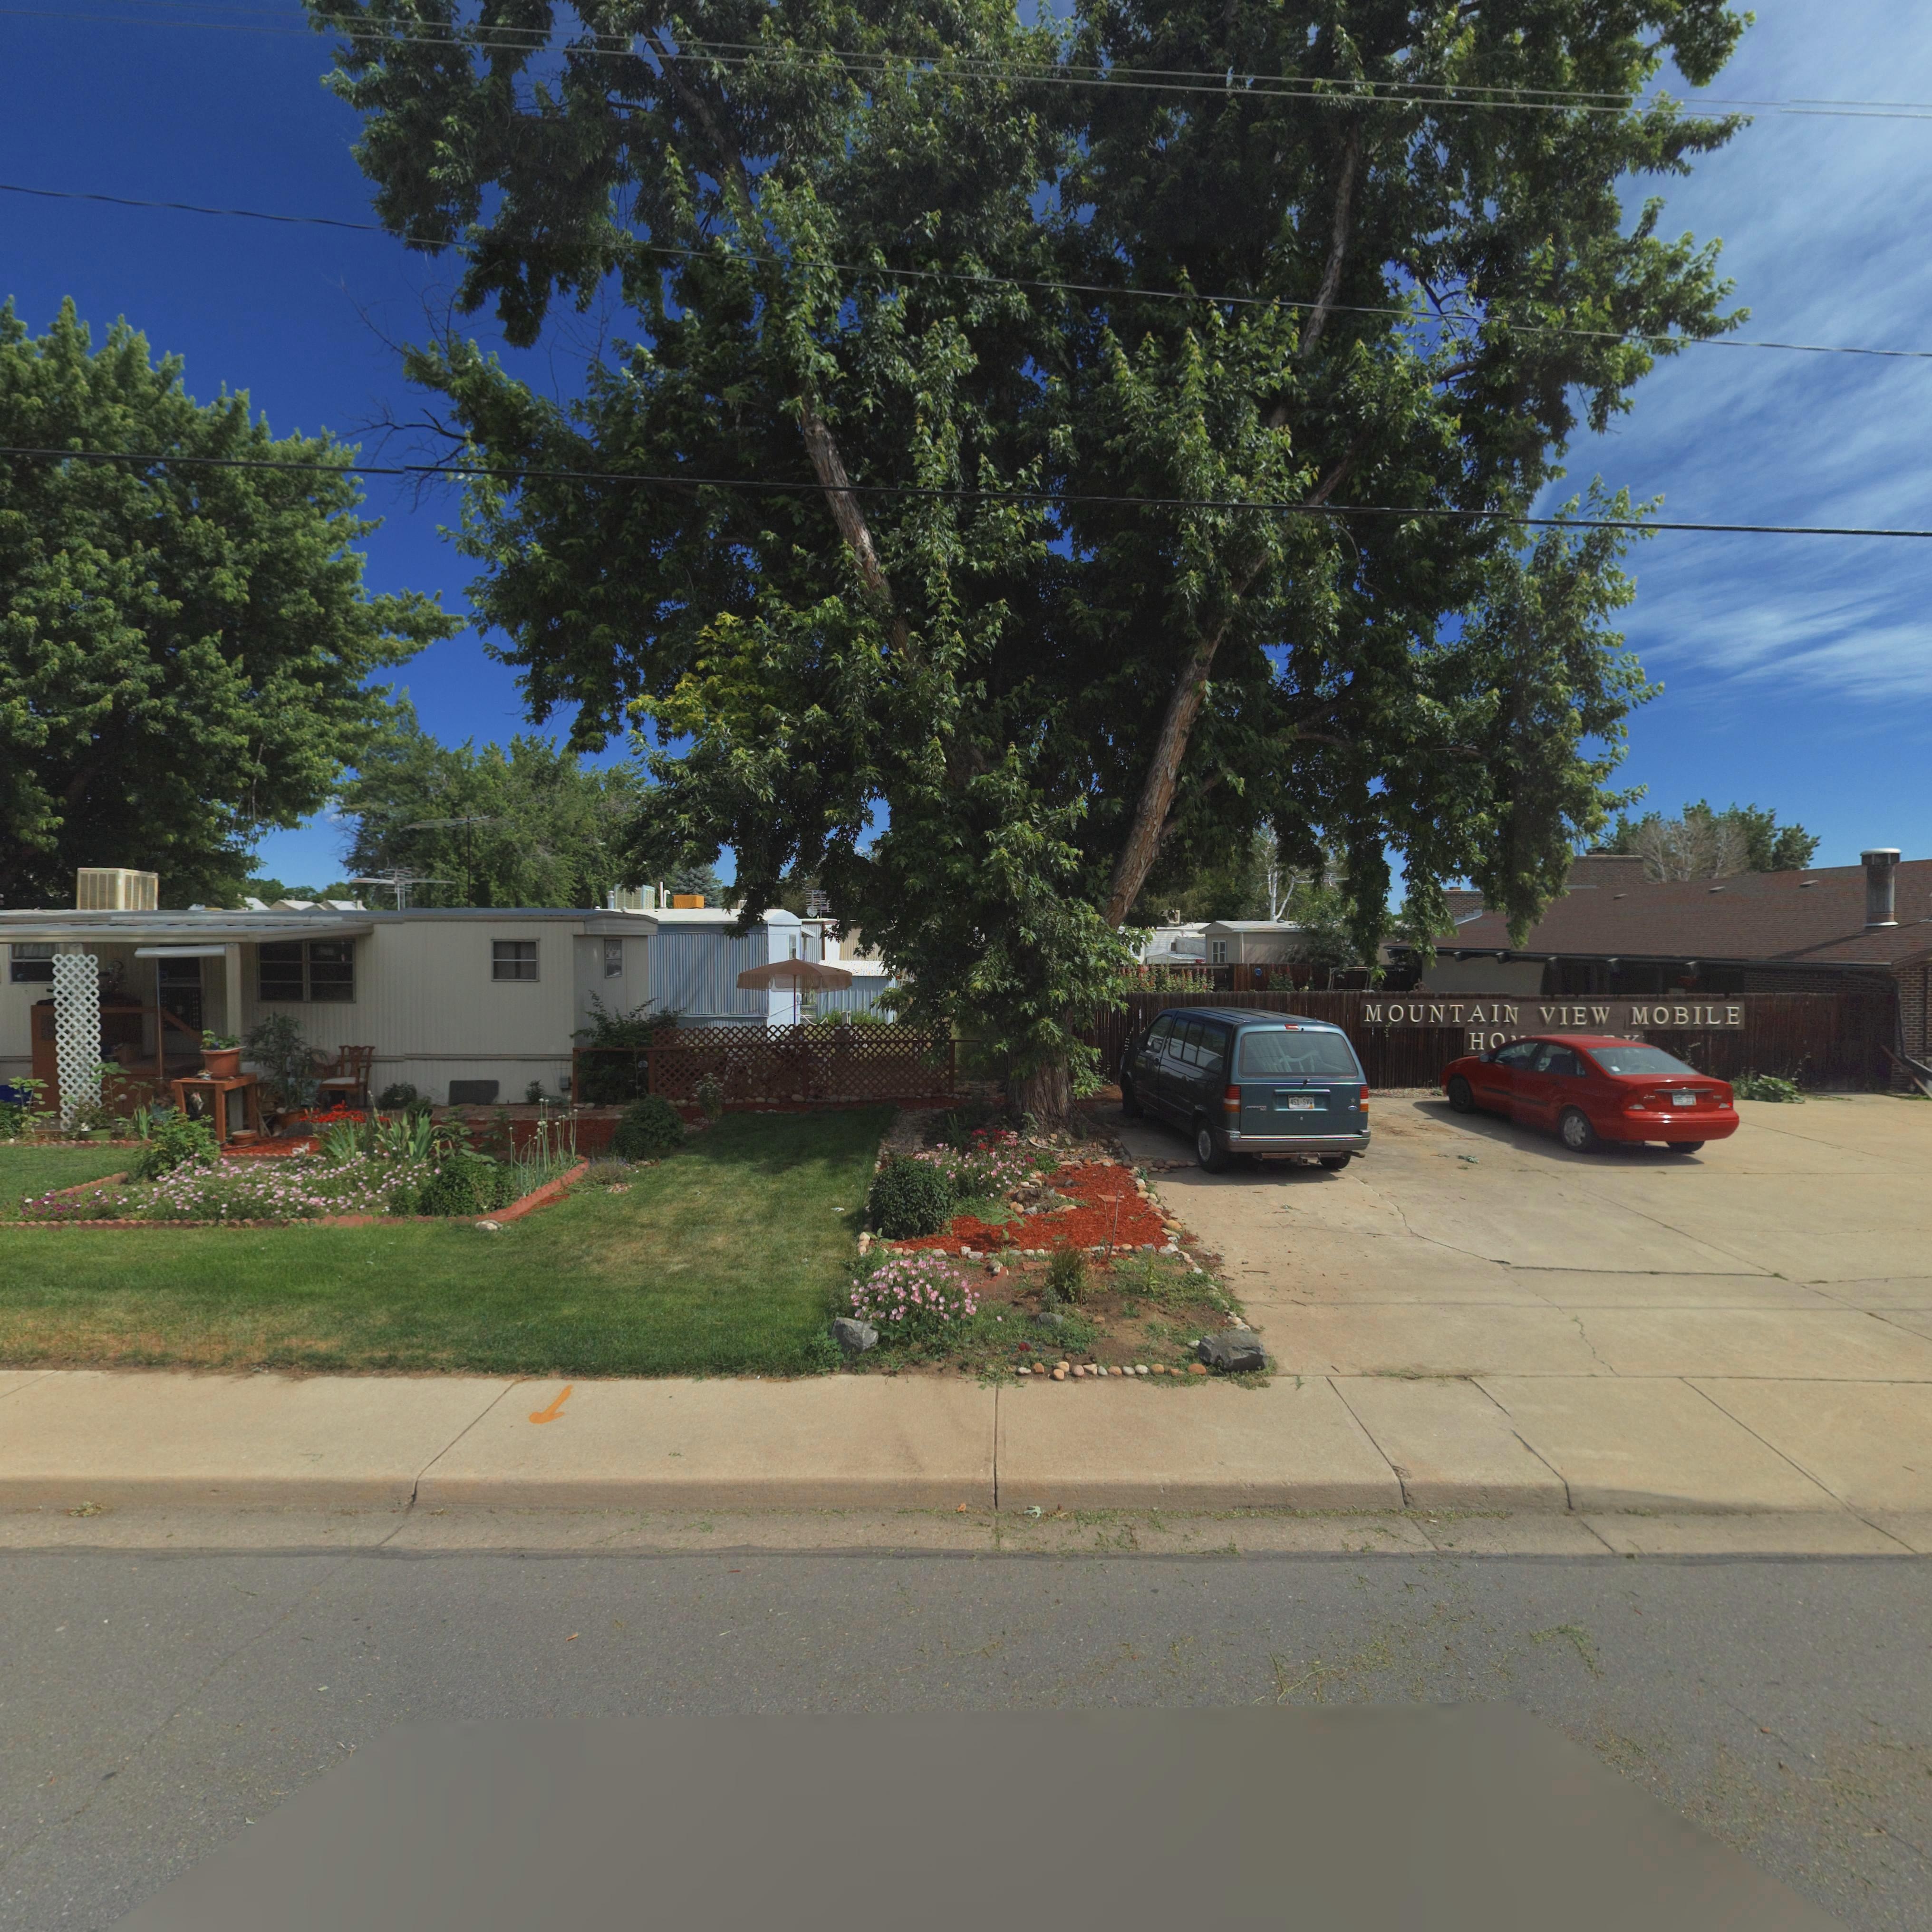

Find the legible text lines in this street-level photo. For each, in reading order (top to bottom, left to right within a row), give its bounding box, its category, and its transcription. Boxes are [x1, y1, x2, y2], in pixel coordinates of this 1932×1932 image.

[1362, 1004, 1741, 1027] BusinessName: MOUNTAI* VIEW MOBILE
[1468, 1032, 1485, 1050] BusinessName: H